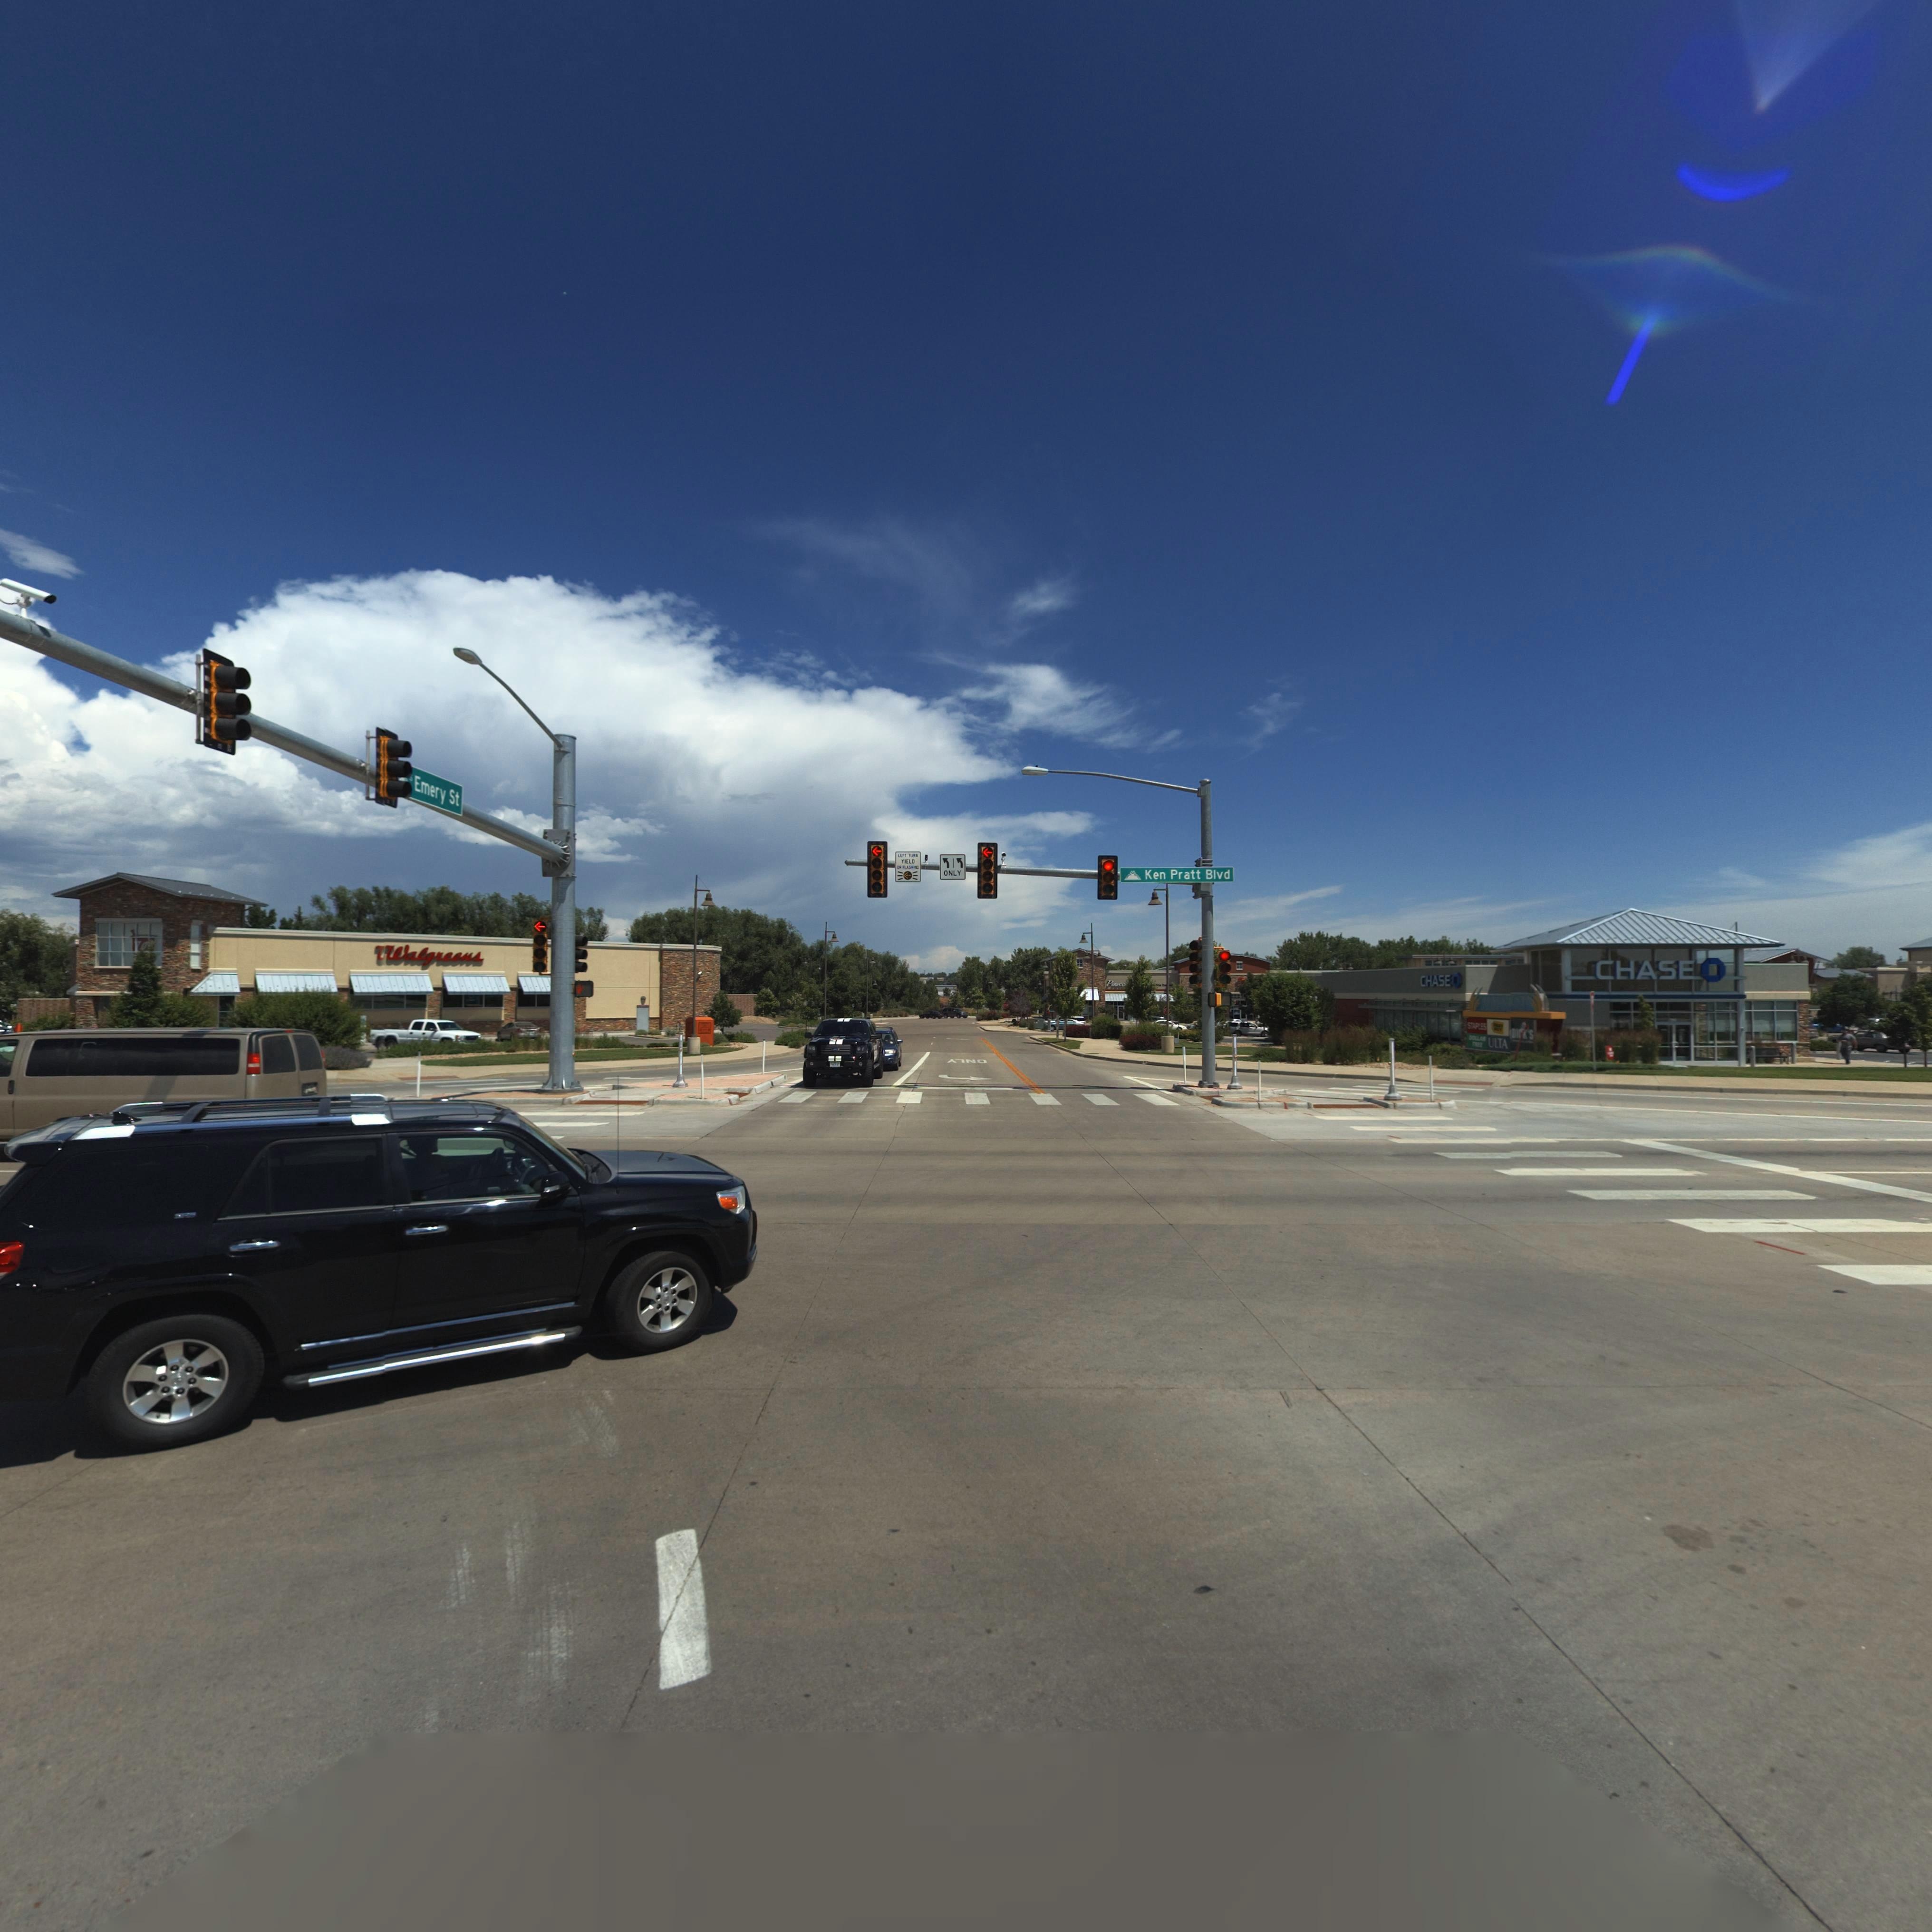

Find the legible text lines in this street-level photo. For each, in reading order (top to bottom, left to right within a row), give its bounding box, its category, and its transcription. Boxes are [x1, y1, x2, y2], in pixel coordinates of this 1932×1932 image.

[413, 774, 460, 806] StreetName: Emery St
[1145, 869, 1230, 879] StreetName: Ken Pratt Blvd
[385, 944, 484, 966] BusinessName: Walgreens
[1595, 960, 1695, 980] BusinessName: CHASE
[1420, 974, 1451, 987] BusinessName: CHASE
[1470, 1041, 1483, 1048] BusinessName: TREE
[1467, 1022, 1487, 1030] BusinessName: STAPLES
[1468, 1034, 1486, 1042] BusinessName: DOLLAR
[1494, 1027, 1502, 1032] BusinessName: BUY
[1488, 1037, 1508, 1049] BusinessName: ULTA
[1493, 1023, 1503, 1028] BusinessName: BEST
[1511, 1028, 1534, 1040] BusinessName: DI**'S